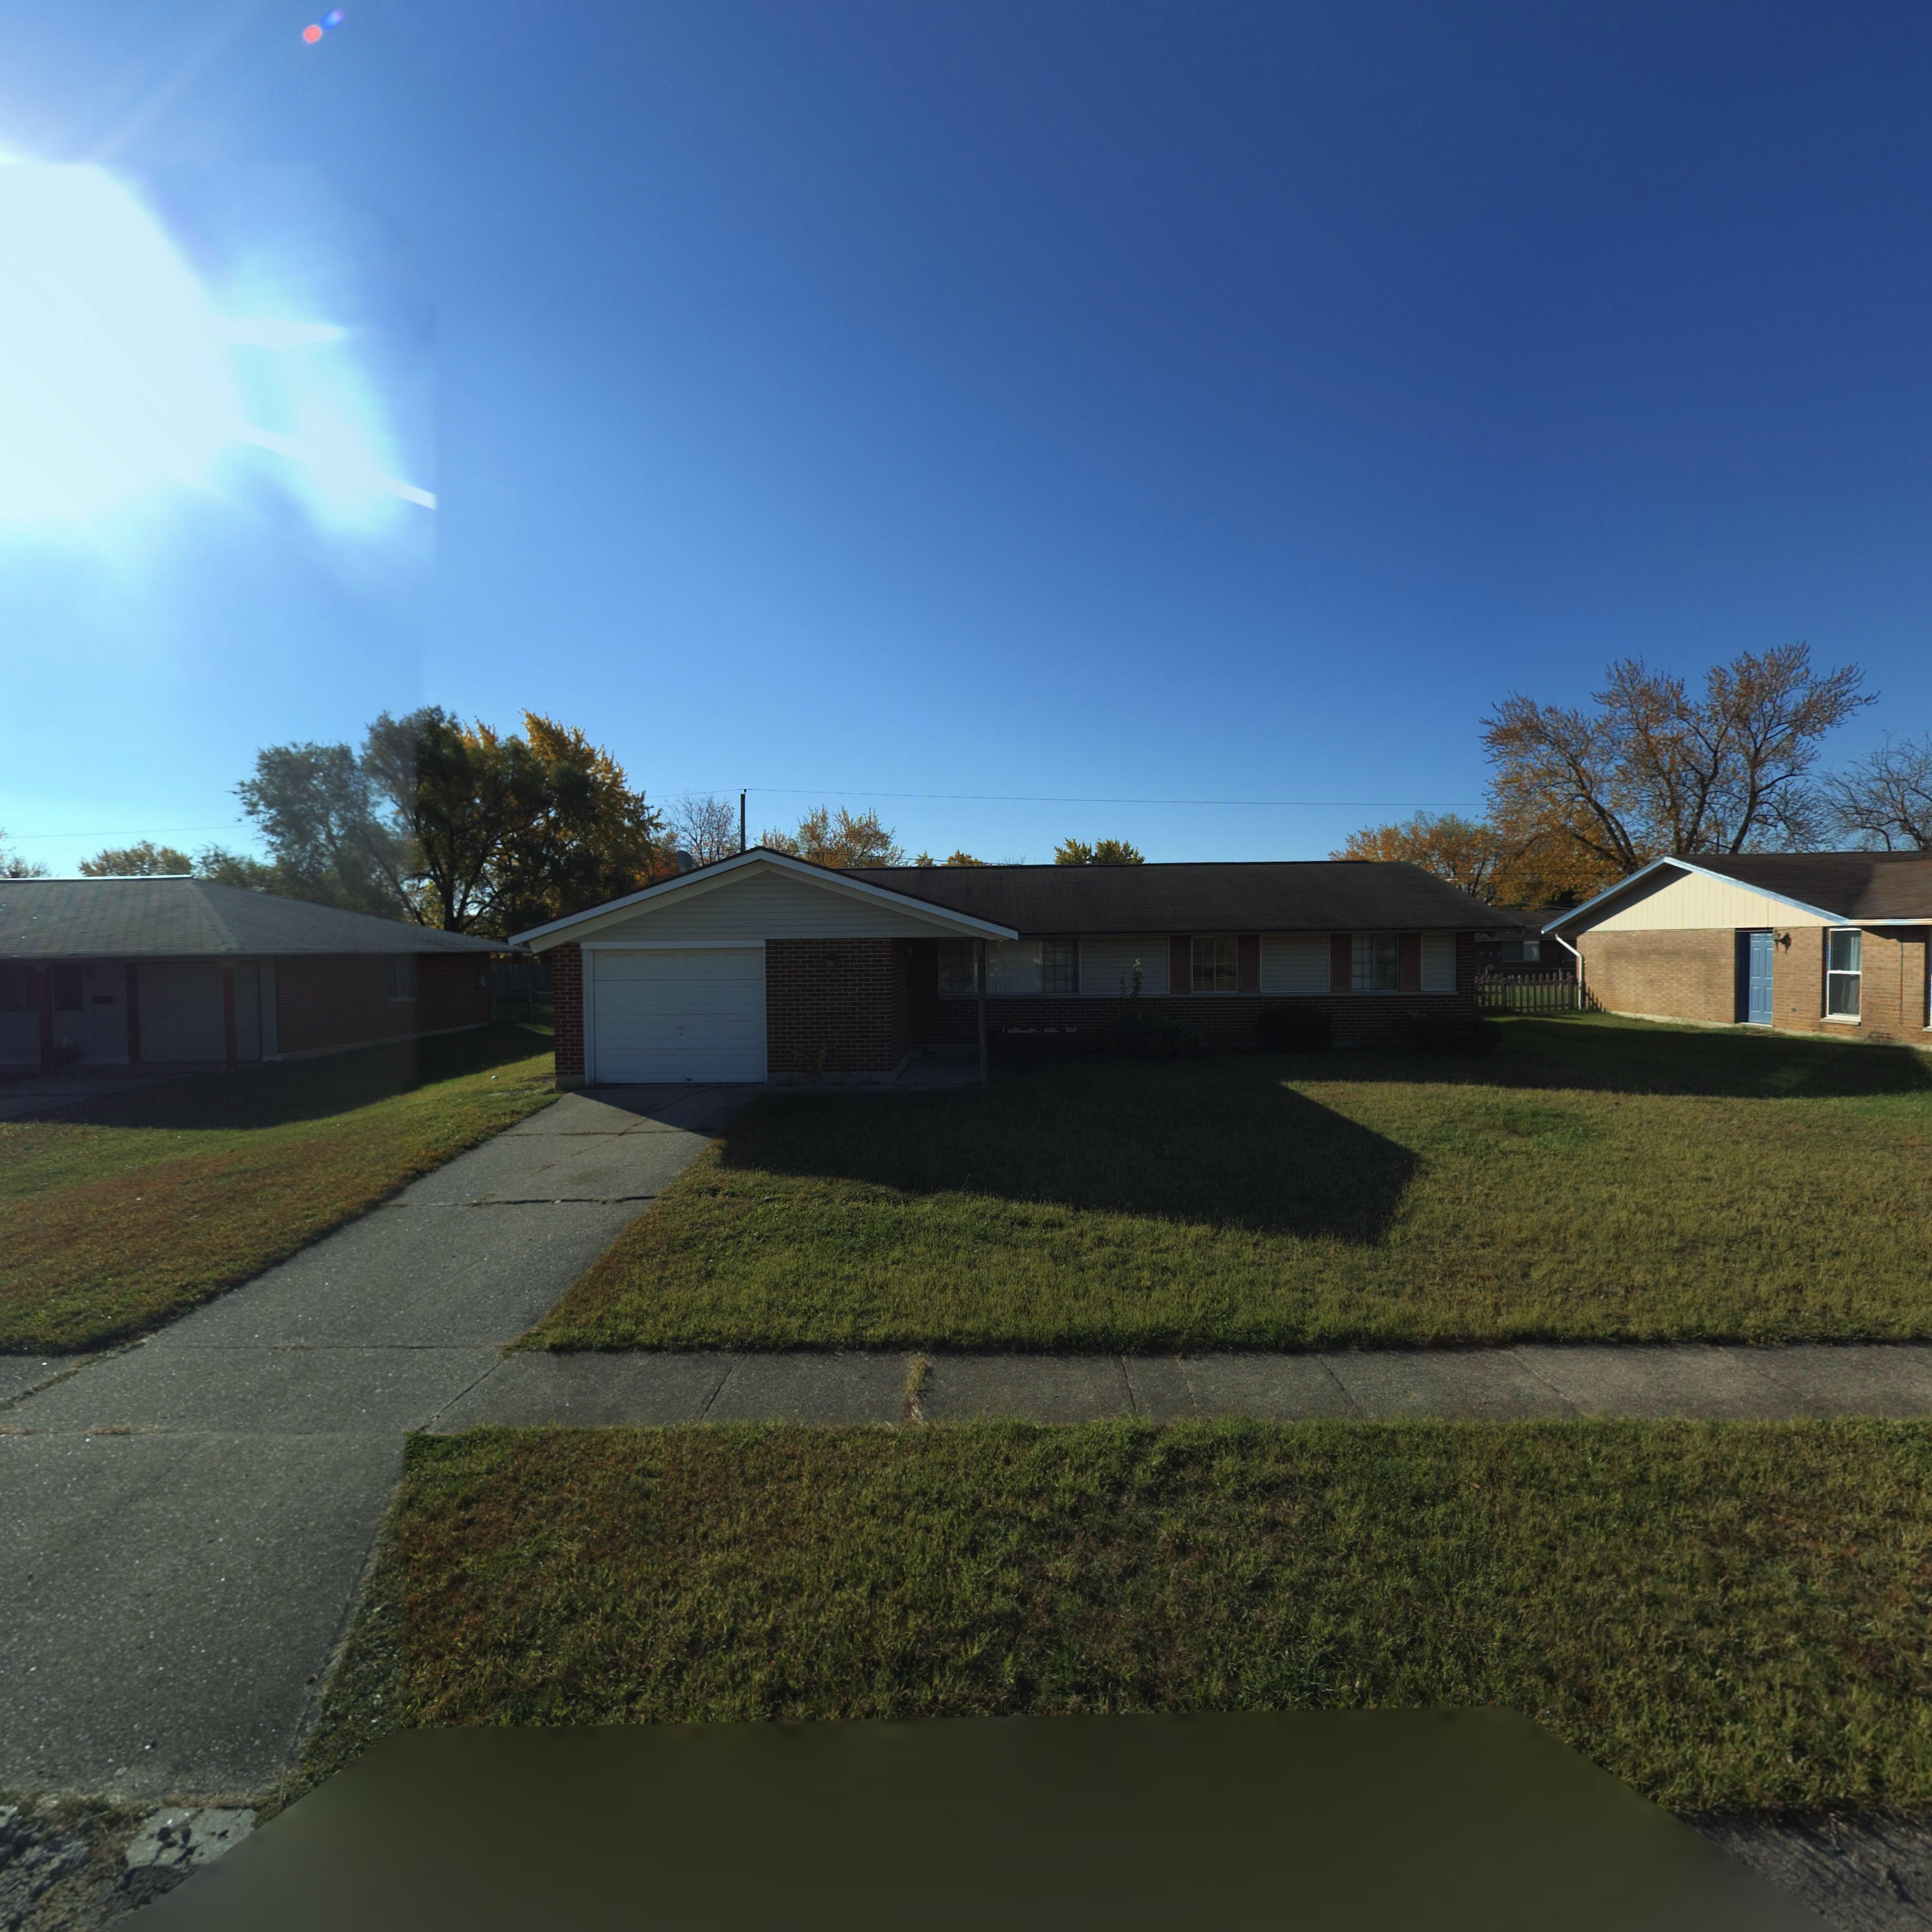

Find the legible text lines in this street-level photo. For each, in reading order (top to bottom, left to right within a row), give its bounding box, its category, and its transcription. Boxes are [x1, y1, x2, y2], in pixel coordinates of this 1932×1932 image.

[977, 960, 984, 990] StreetNumber: 7942